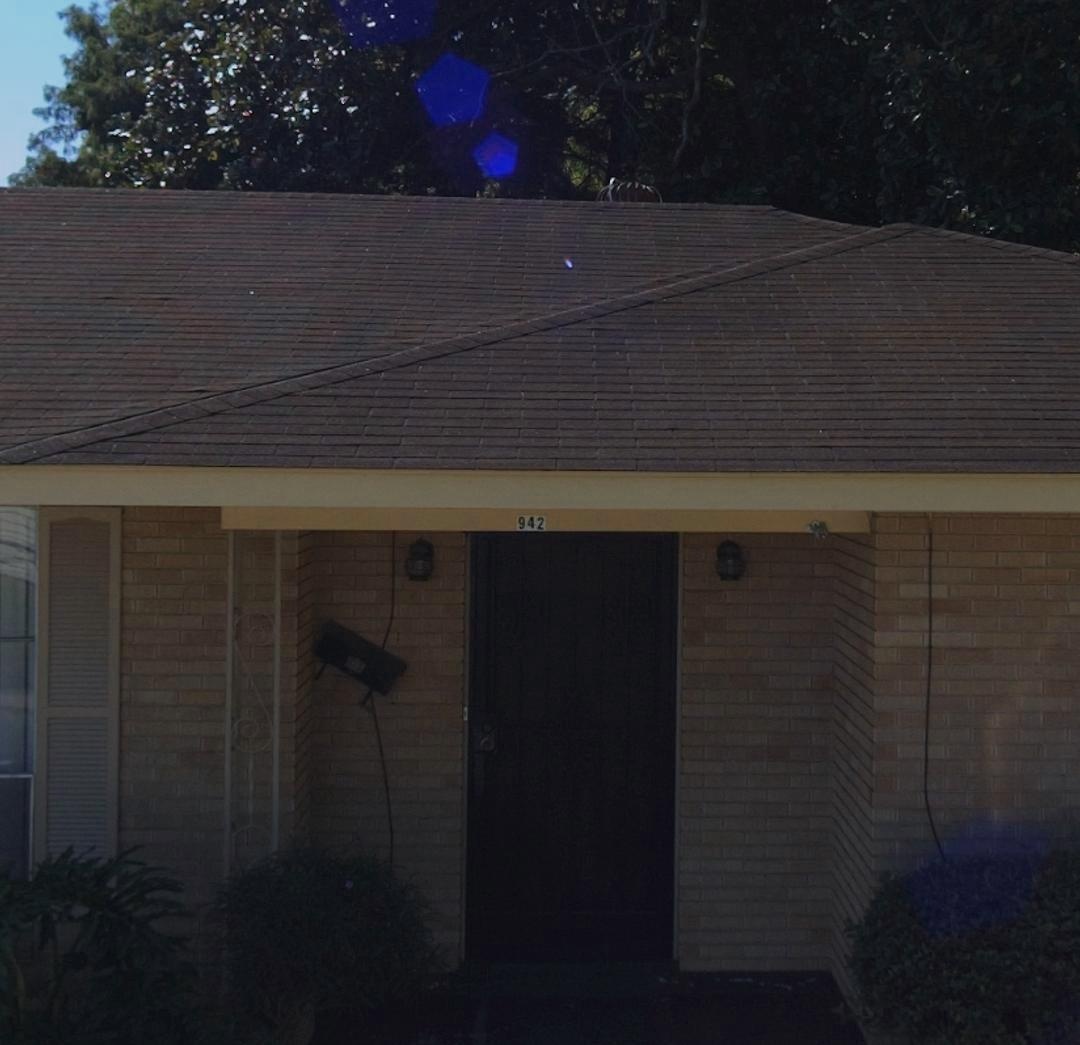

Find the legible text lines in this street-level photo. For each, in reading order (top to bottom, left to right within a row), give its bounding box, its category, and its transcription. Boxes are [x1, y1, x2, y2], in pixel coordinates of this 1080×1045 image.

[516, 514, 546, 532] StreetNumber: 942